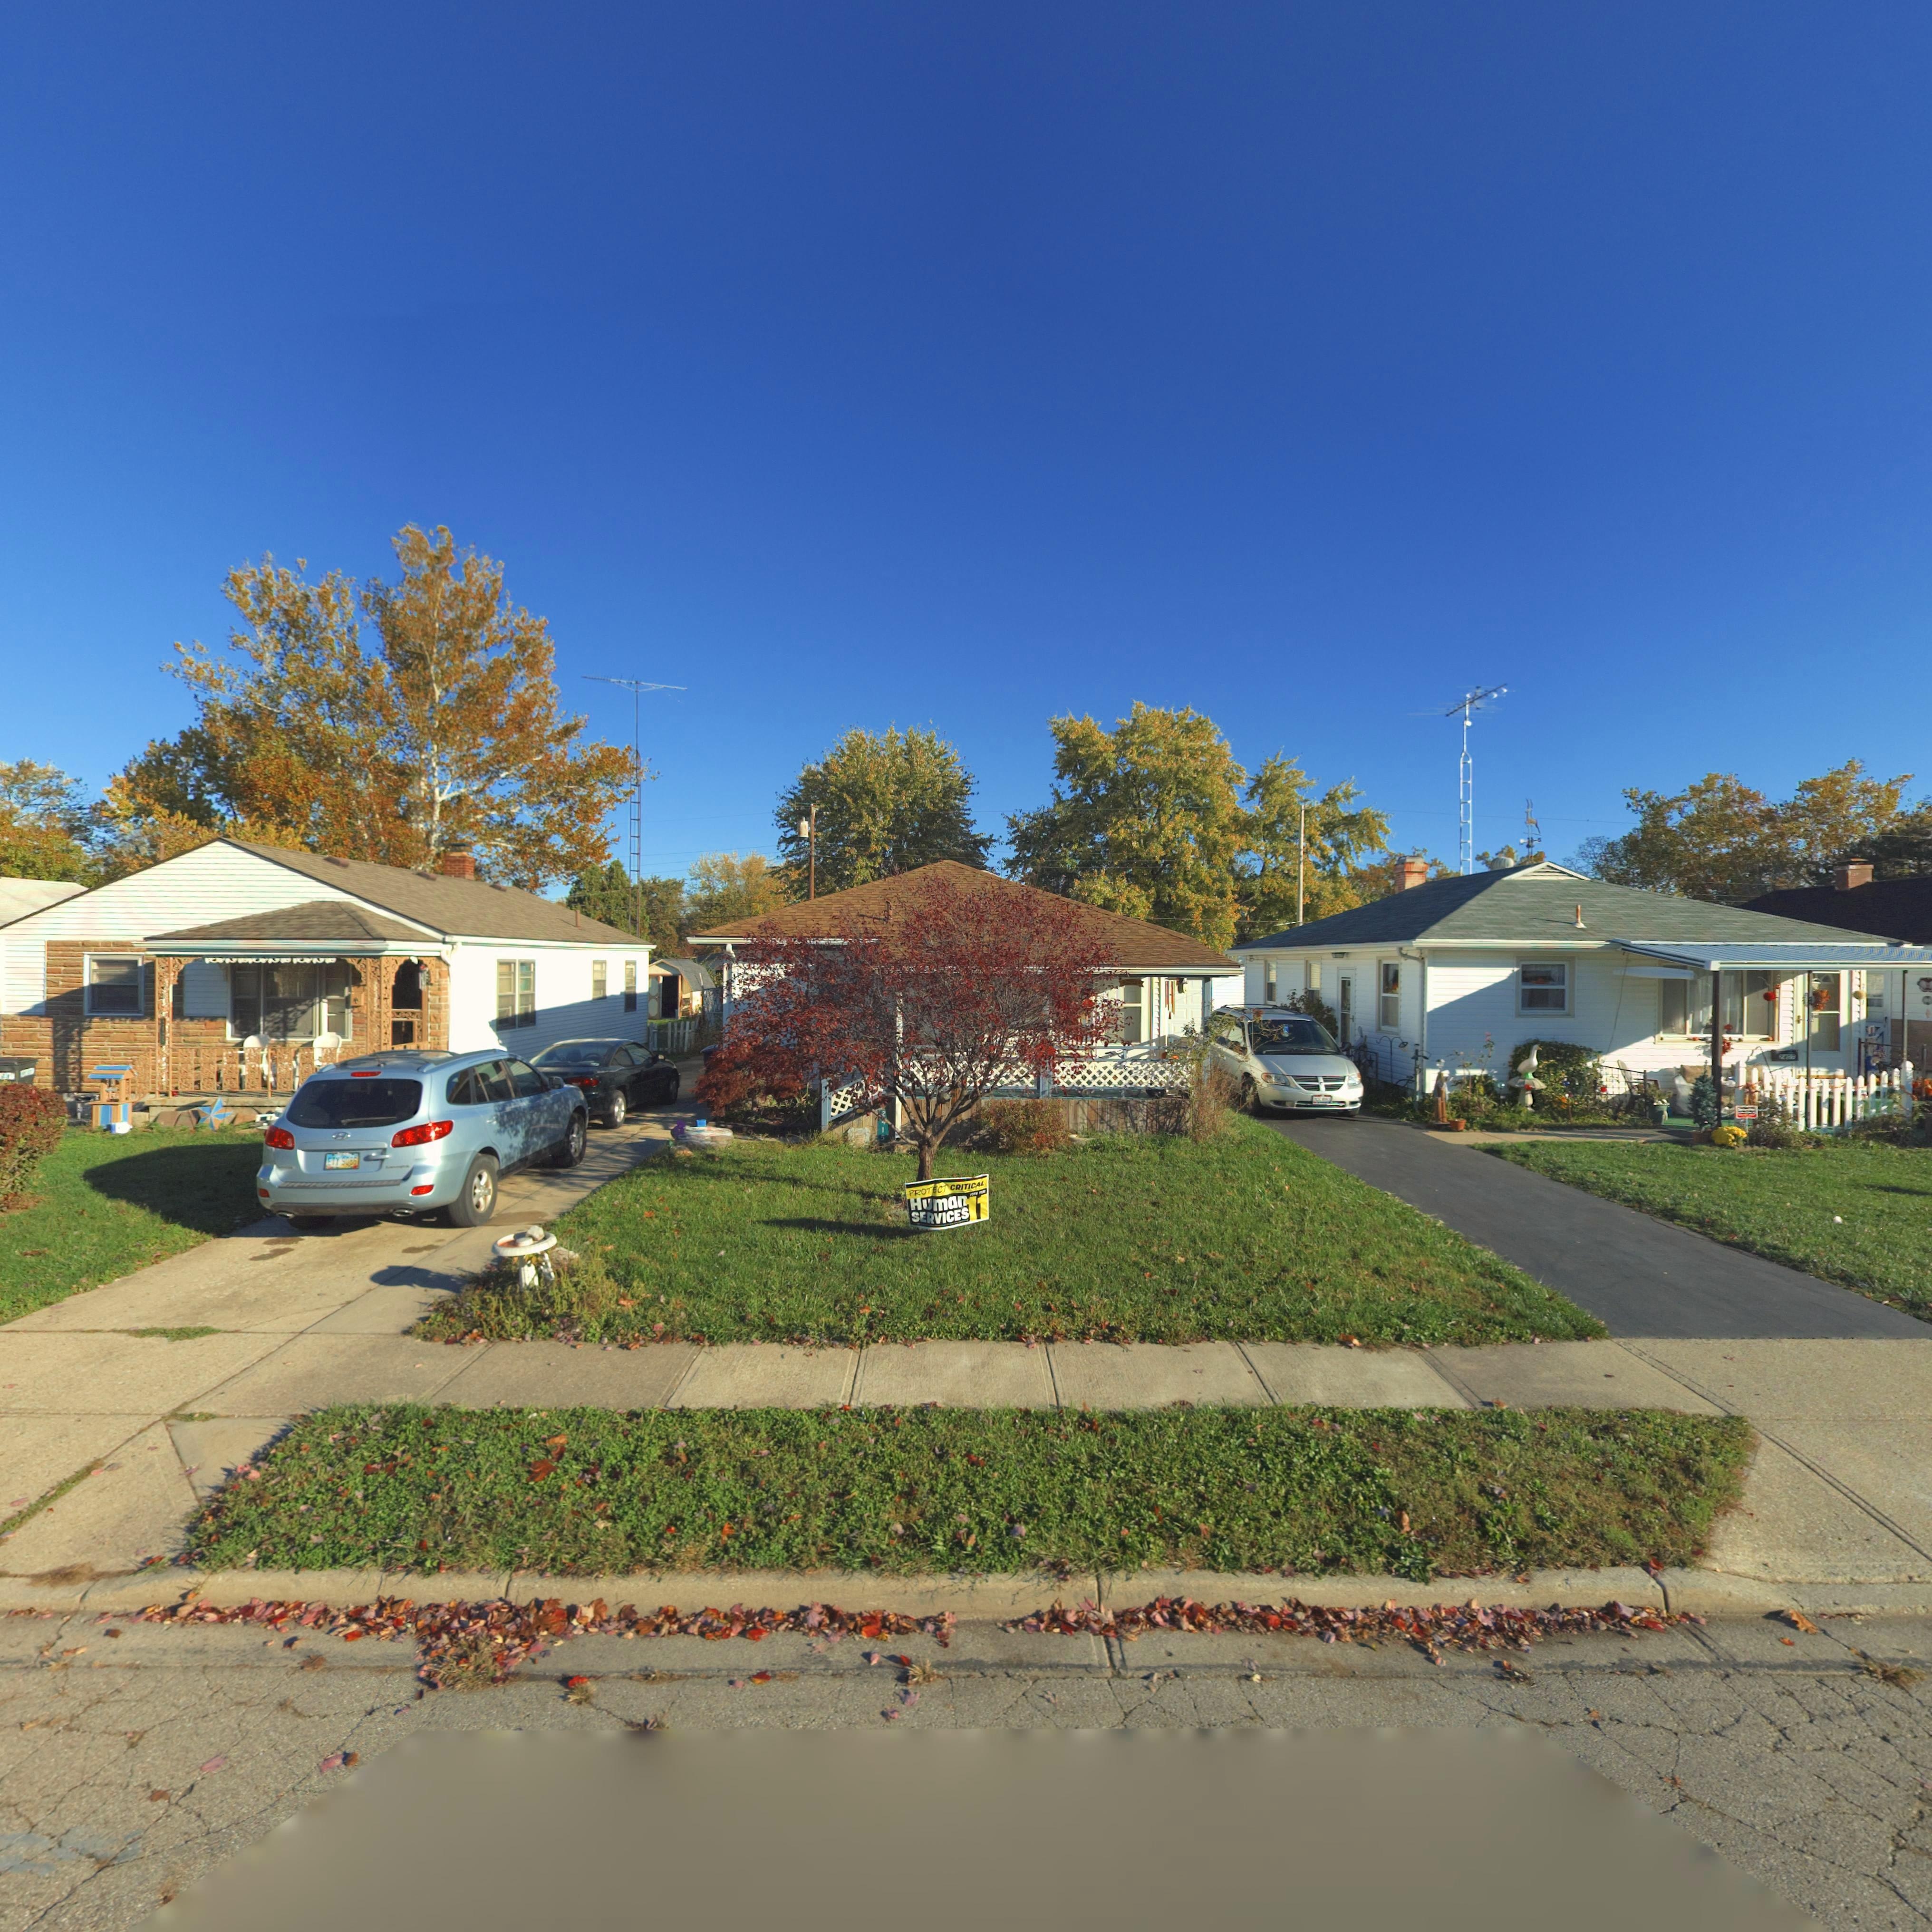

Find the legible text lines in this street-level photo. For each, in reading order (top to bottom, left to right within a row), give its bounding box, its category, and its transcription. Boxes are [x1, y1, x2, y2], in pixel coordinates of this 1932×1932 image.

[1778, 1053, 1796, 1060] StreetNumber: 2407
[880, 1109, 887, 1141] StreetNumber: 2415